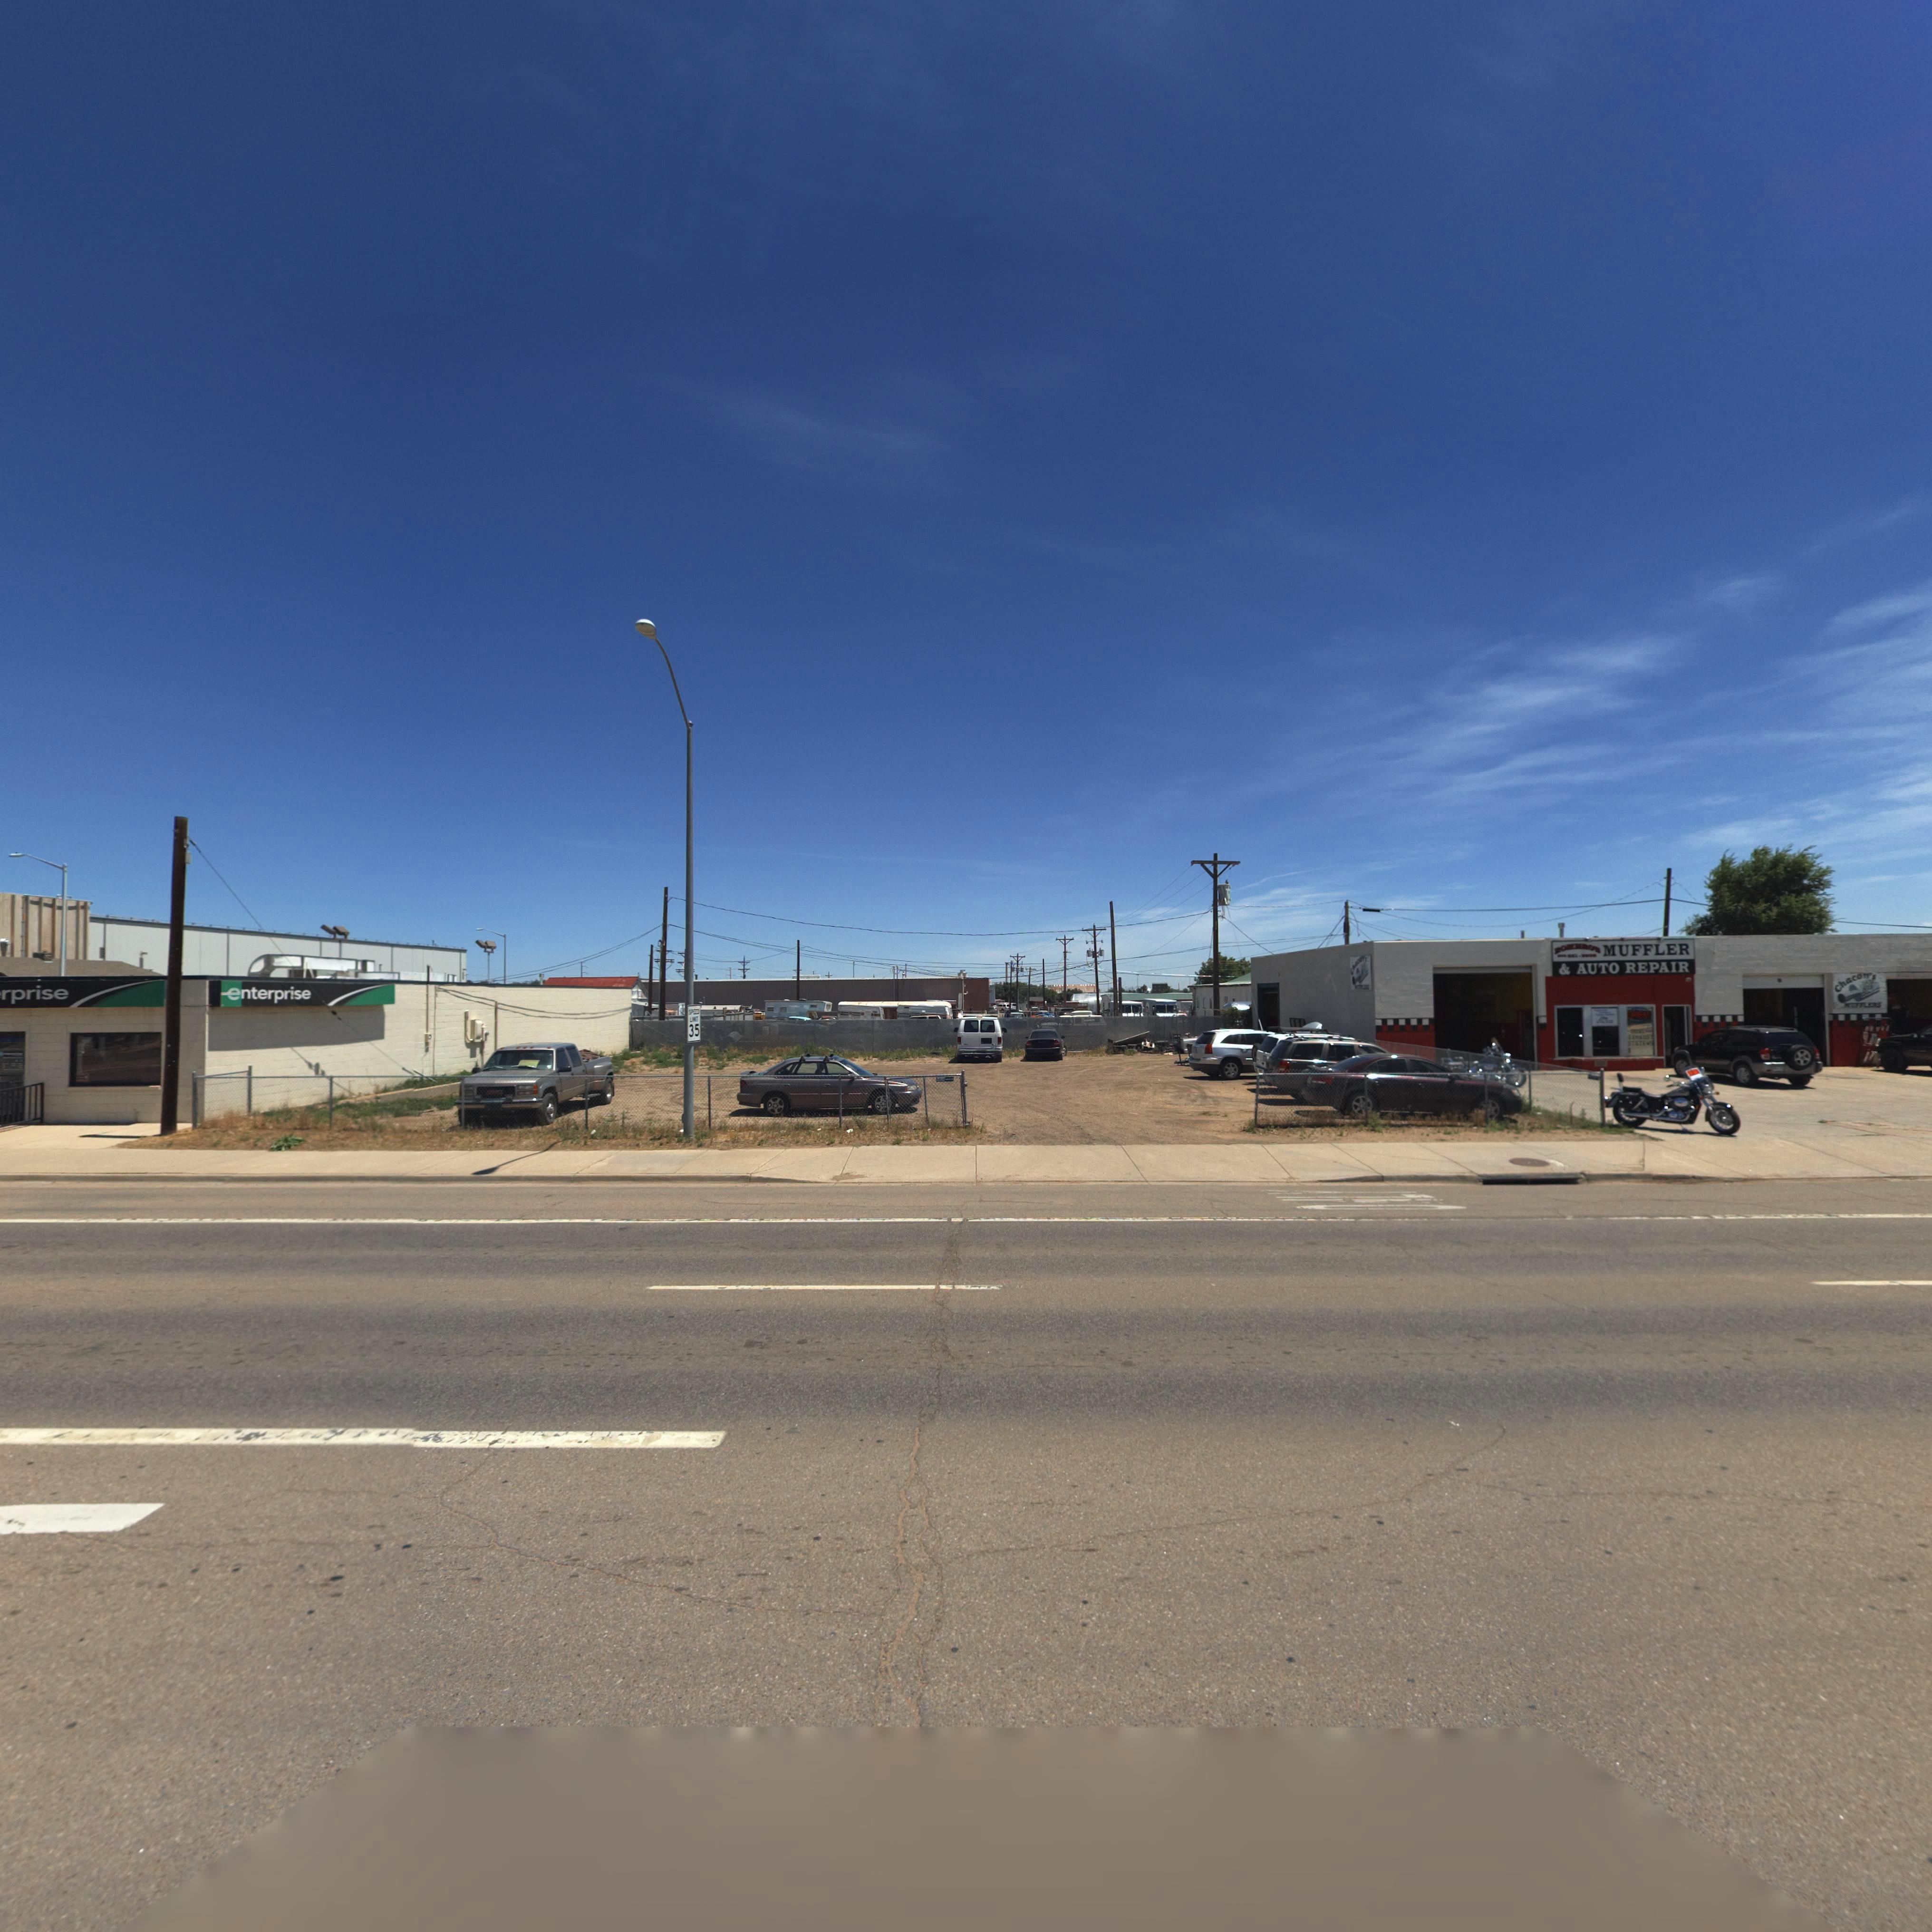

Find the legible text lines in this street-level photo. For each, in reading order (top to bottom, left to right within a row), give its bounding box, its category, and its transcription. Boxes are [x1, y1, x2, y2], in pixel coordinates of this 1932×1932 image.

[1554, 942, 1602, 955] BusinessName: *o****O**
[1601, 942, 1691, 957] BusinessName: MUFFLER
[1349, 955, 1365, 976] BusinessName: C****
[1556, 960, 1690, 976] BusinessName: * AUTO REPAIR
[1832, 971, 1879, 993] BusinessName: Chacon's
[1, 985, 69, 1005] BusinessName: rprise
[220, 985, 313, 1005] BusinessName: enterprise
[1844, 1002, 1881, 1008] BusinessName: MU*FLES